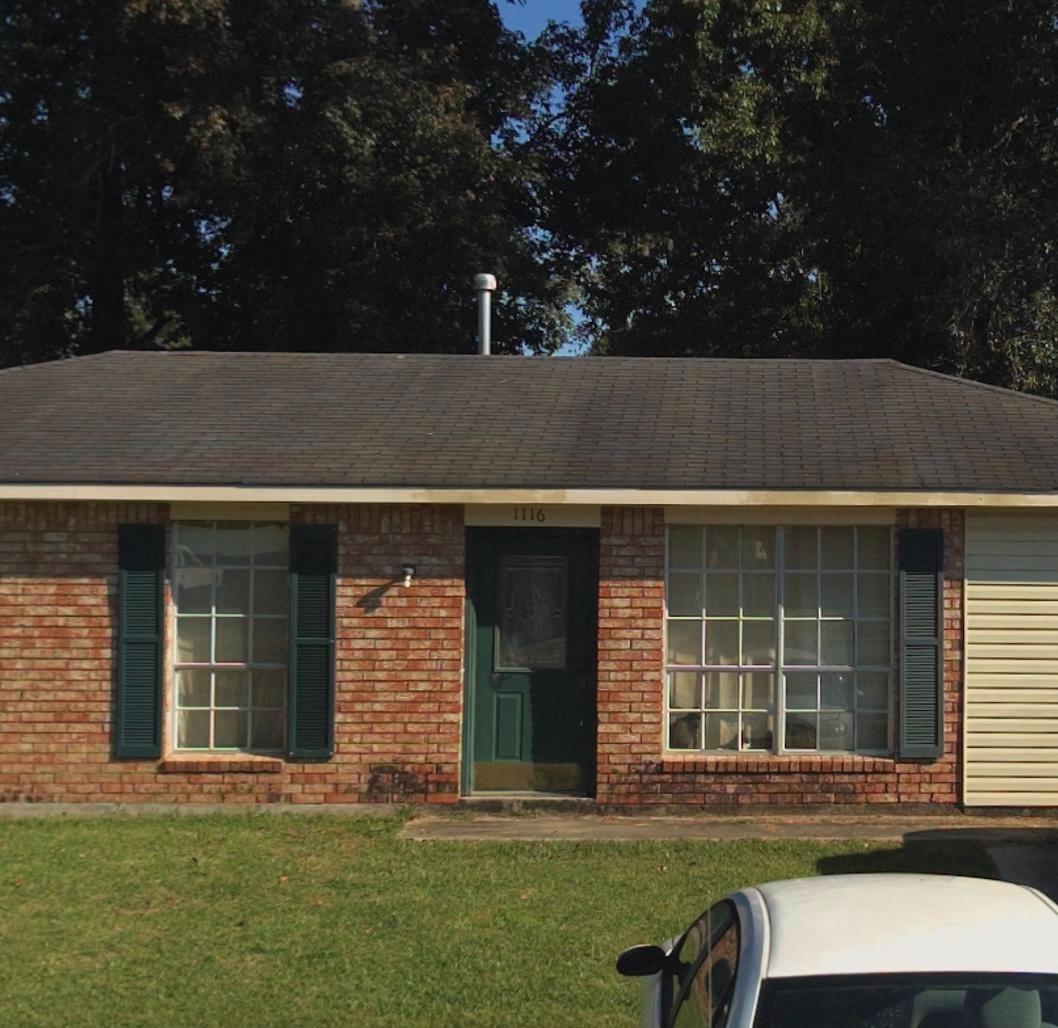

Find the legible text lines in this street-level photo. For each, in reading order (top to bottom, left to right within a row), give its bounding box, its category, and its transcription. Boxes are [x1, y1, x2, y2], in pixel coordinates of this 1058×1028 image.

[513, 506, 546, 523] StreetNumber: 1116